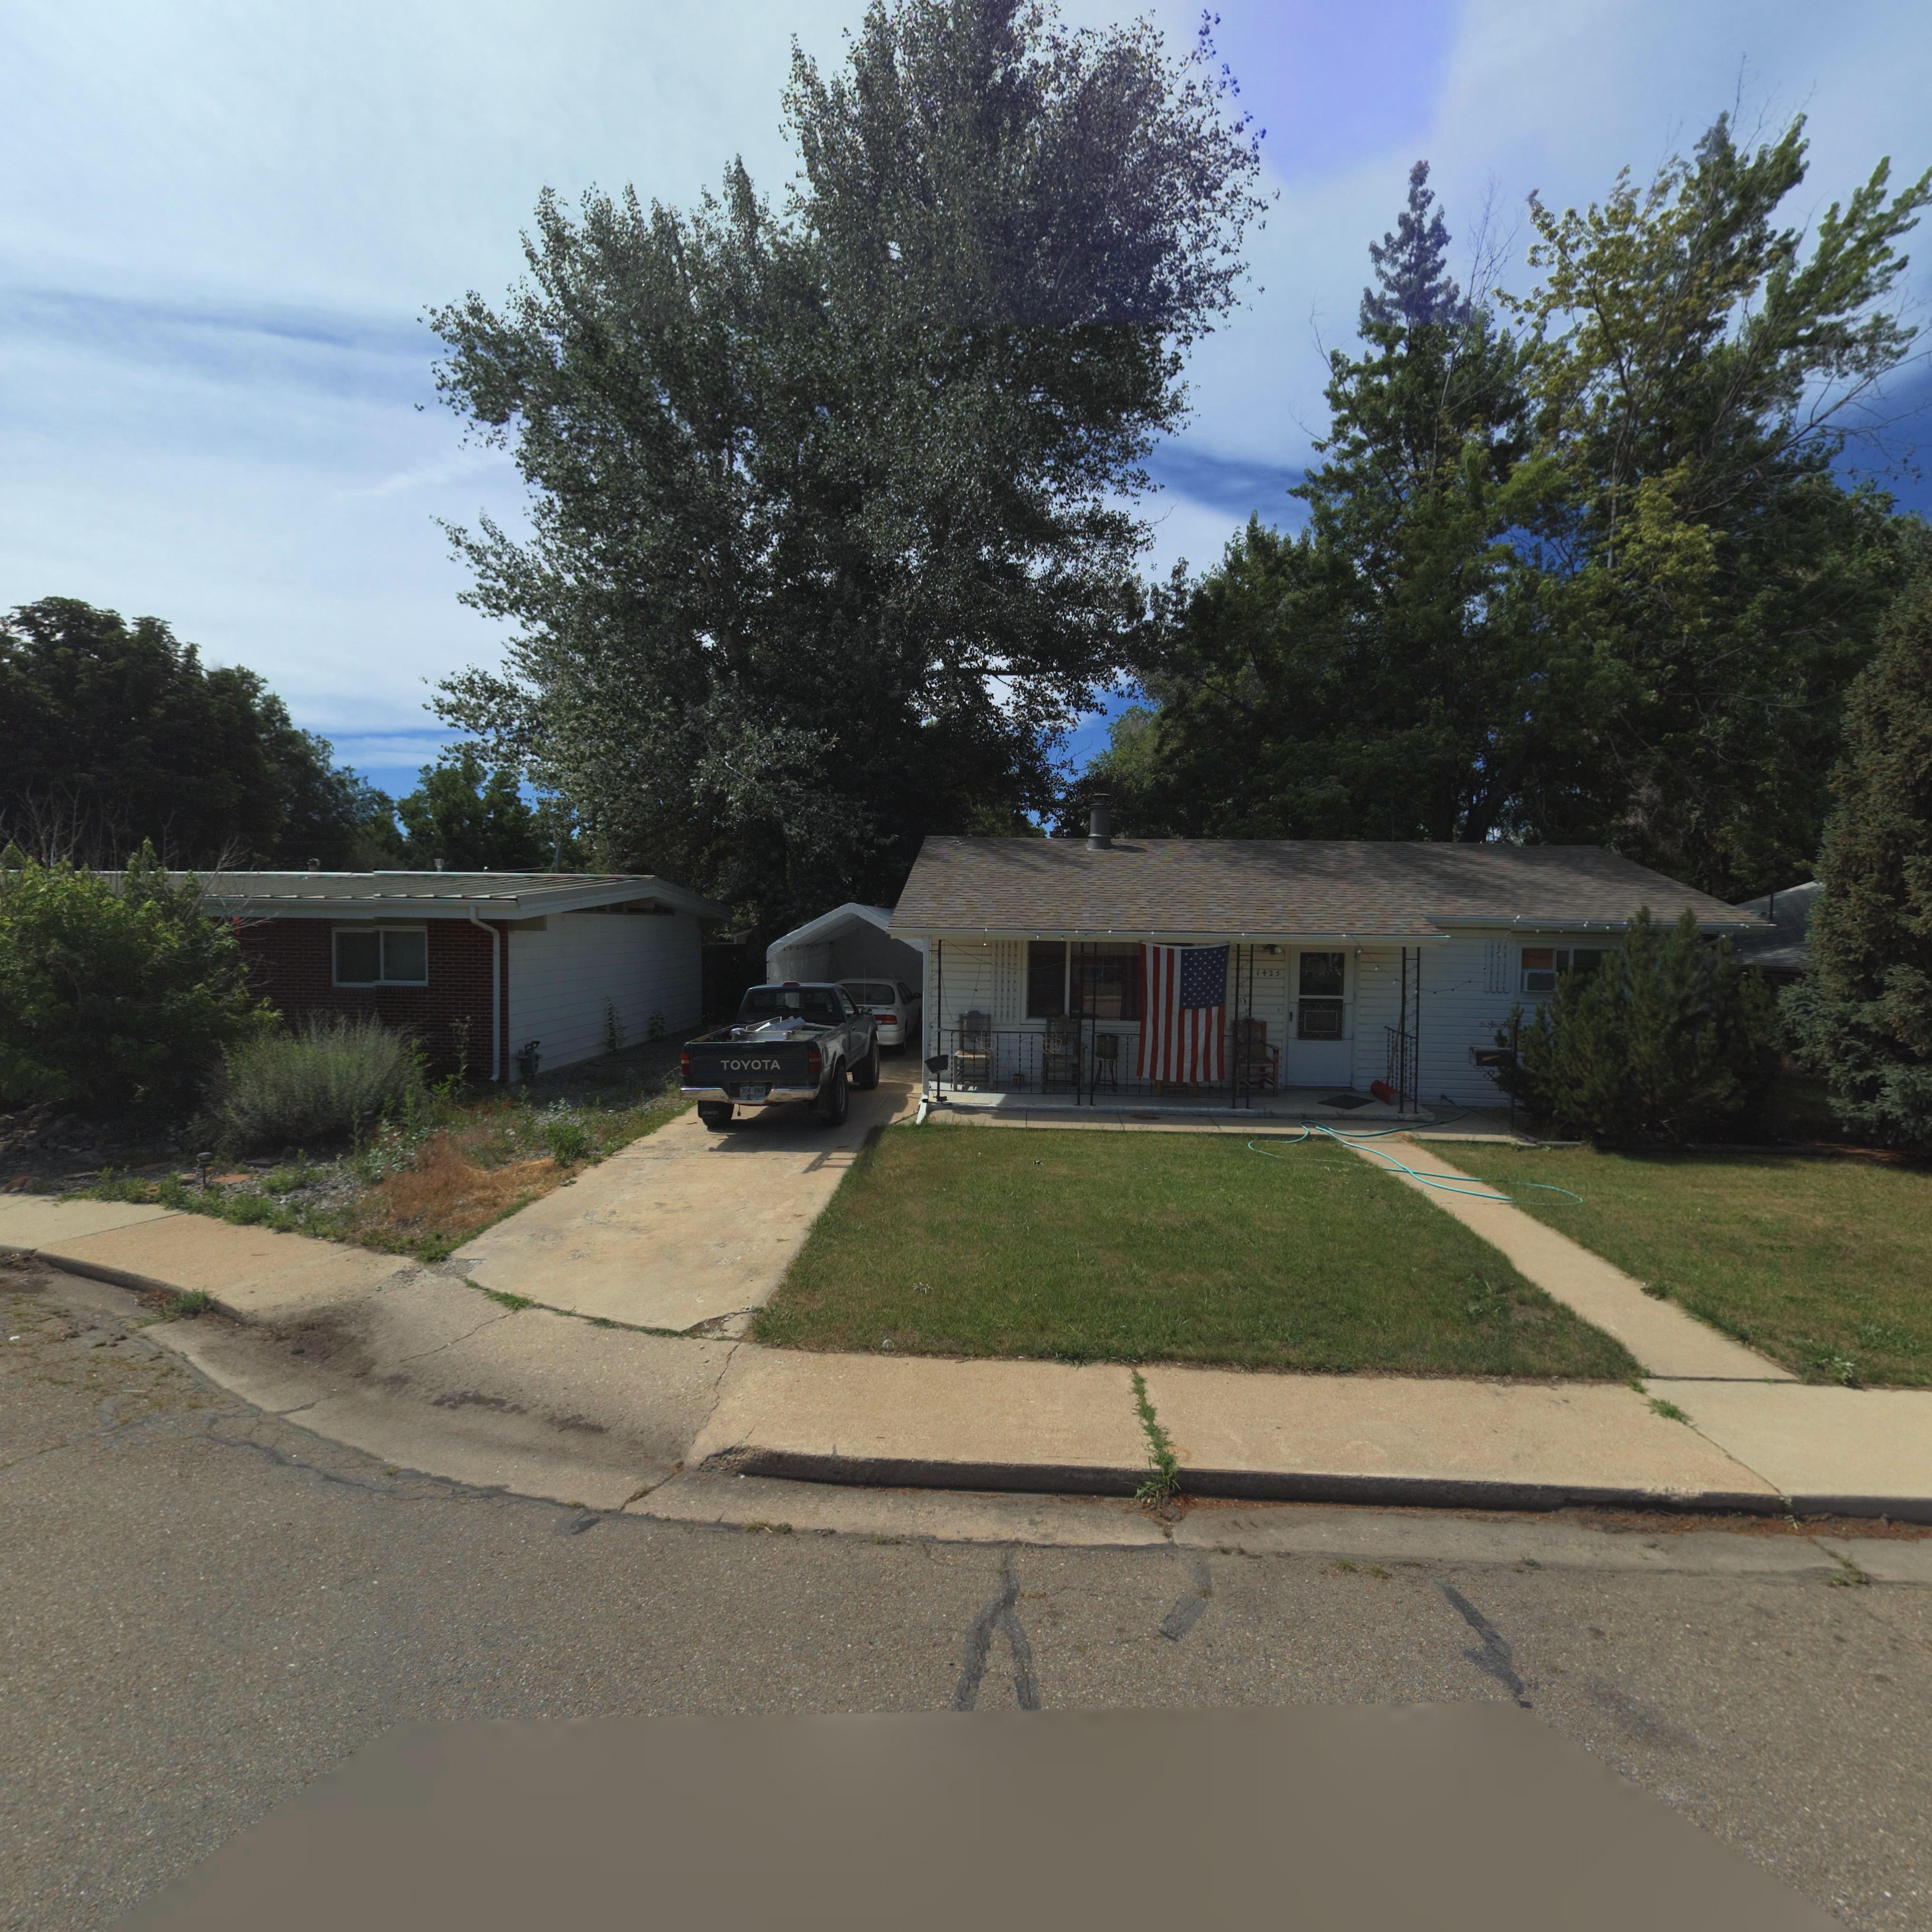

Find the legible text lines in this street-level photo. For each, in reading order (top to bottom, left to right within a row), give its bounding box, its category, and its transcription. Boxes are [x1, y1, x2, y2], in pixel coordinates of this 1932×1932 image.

[1256, 969, 1280, 976] StreetNumber: 1425